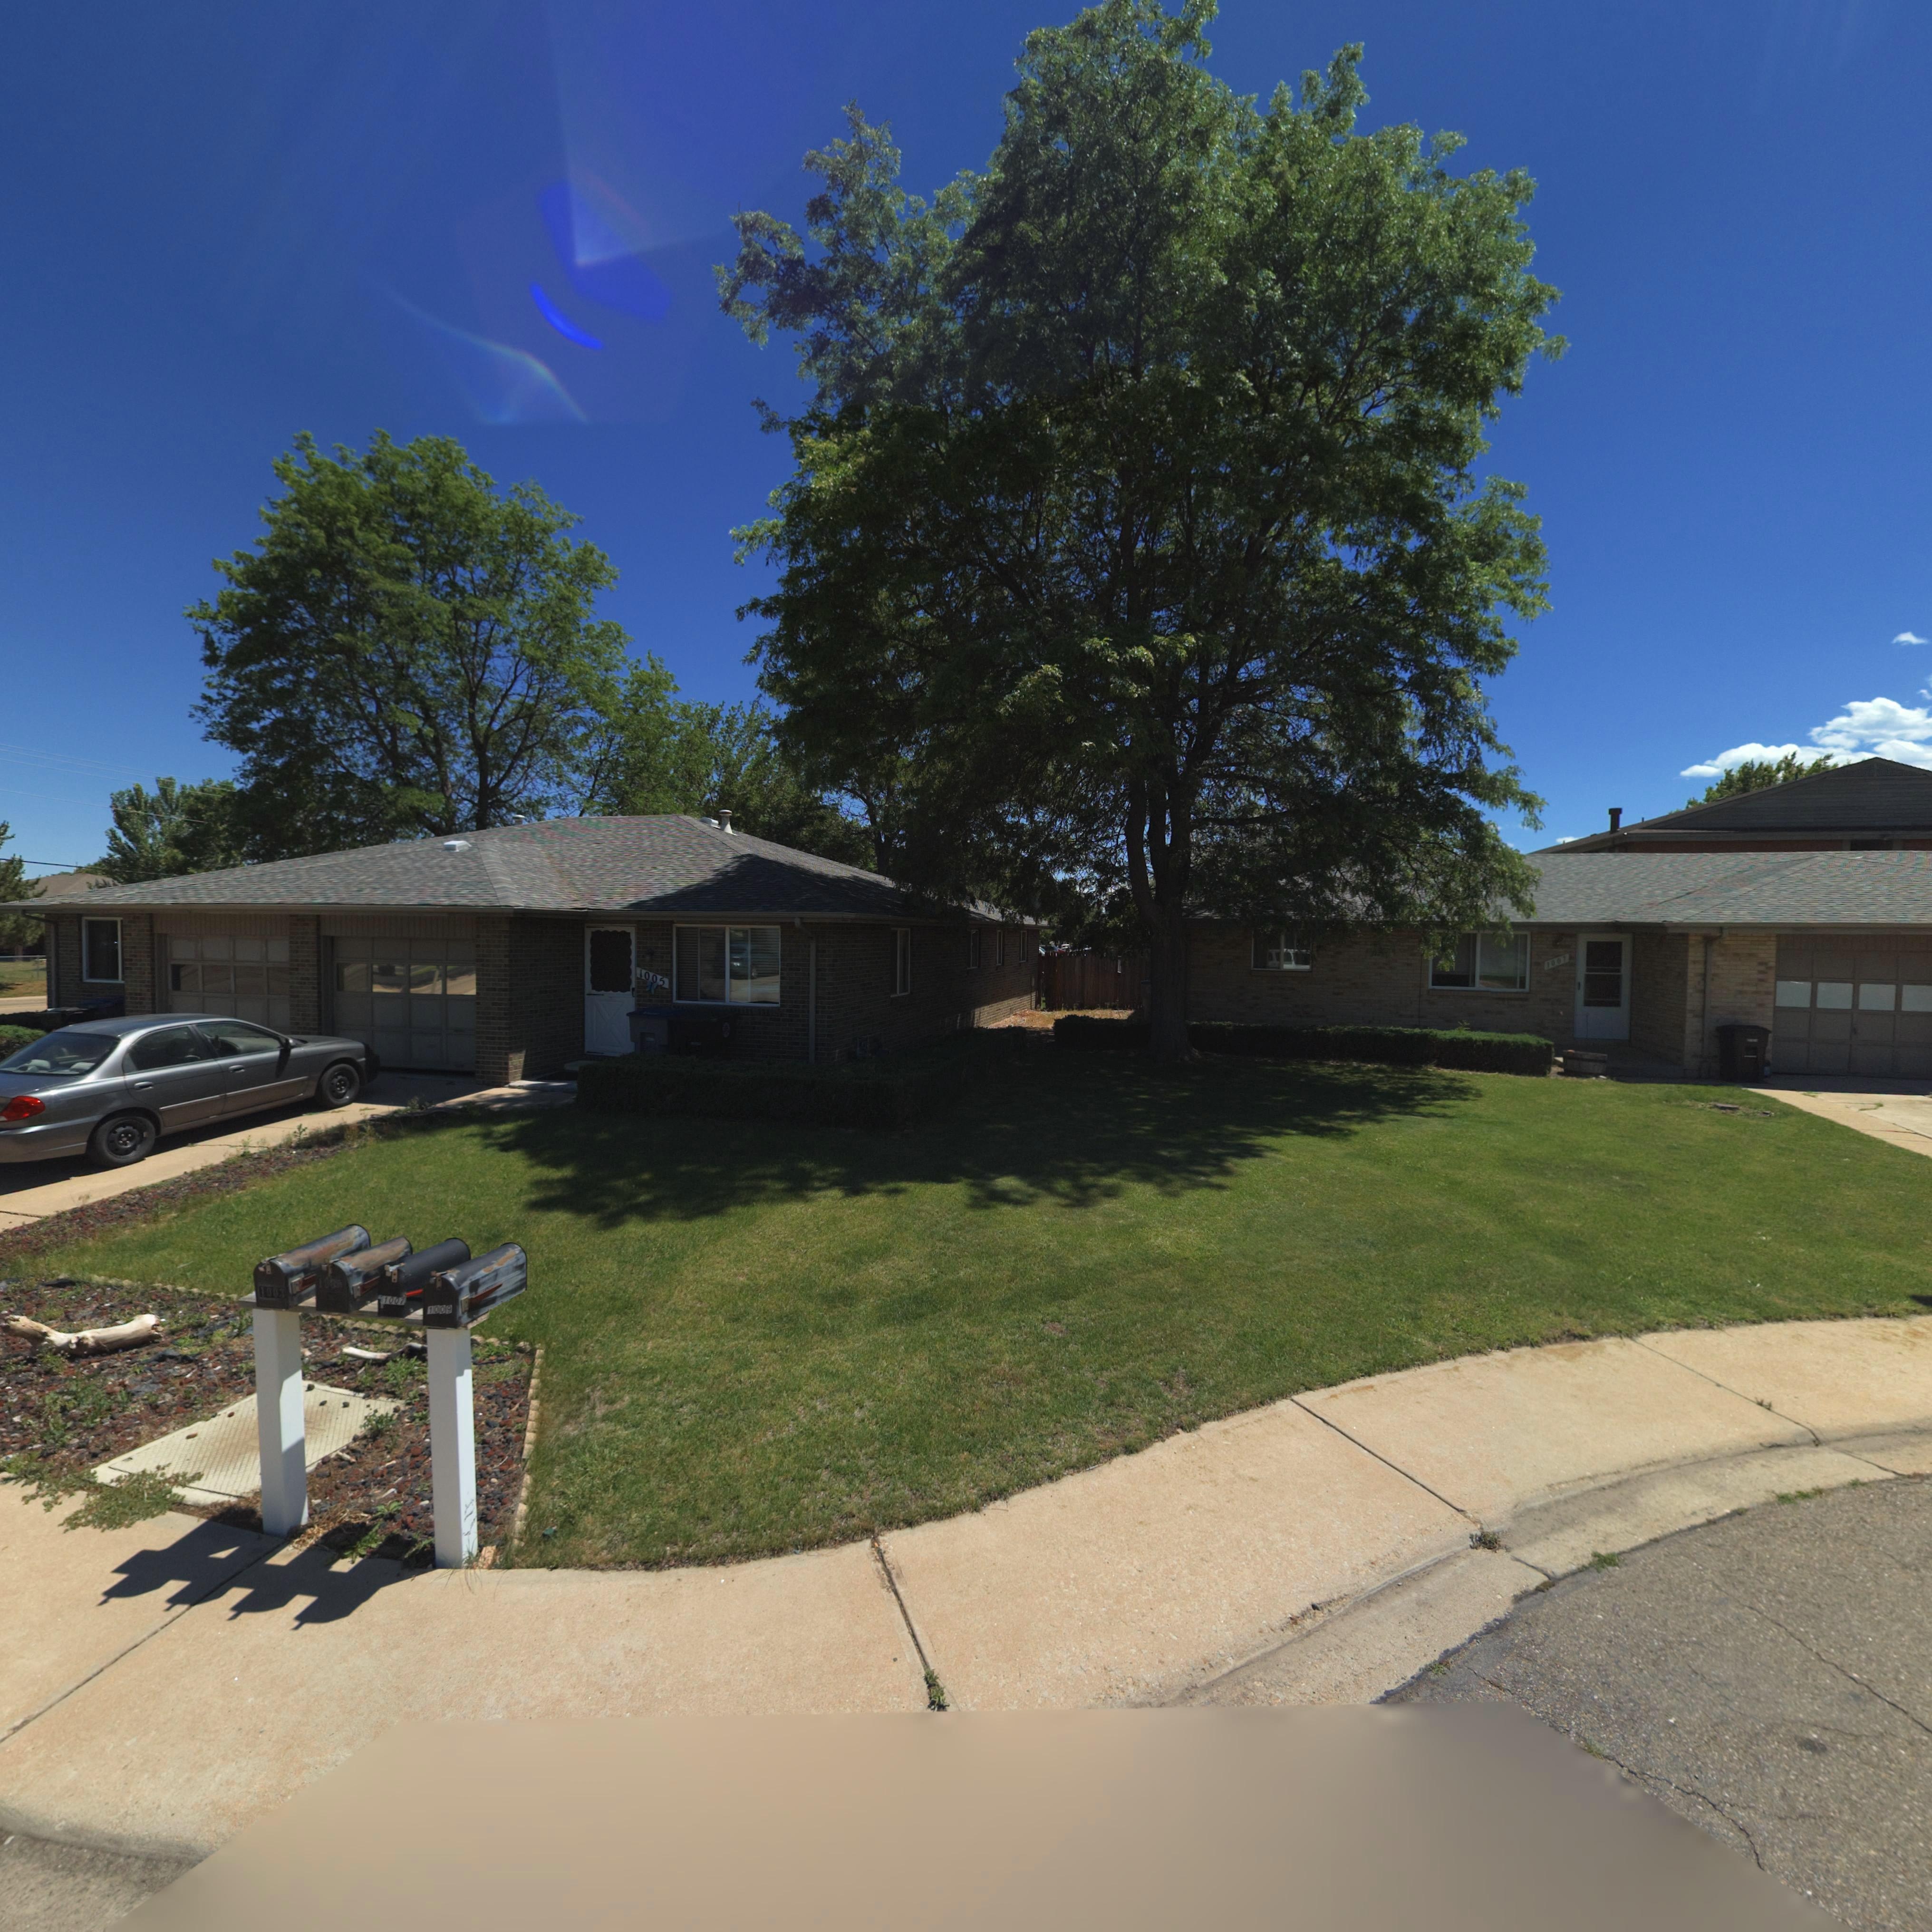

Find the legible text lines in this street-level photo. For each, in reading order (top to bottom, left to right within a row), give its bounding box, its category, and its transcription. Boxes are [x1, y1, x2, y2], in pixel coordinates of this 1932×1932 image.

[1546, 955, 1566, 968] StreetNumber: 1007
[638, 968, 665, 987] StreetNumber: 1005
[318, 1277, 343, 1291] StreetNumber: 100*
[260, 1286, 285, 1299] StreetNumber: 1003
[383, 1296, 406, 1305] StreetNumber: 1007
[428, 1305, 452, 1314] StreetNumber: 1009